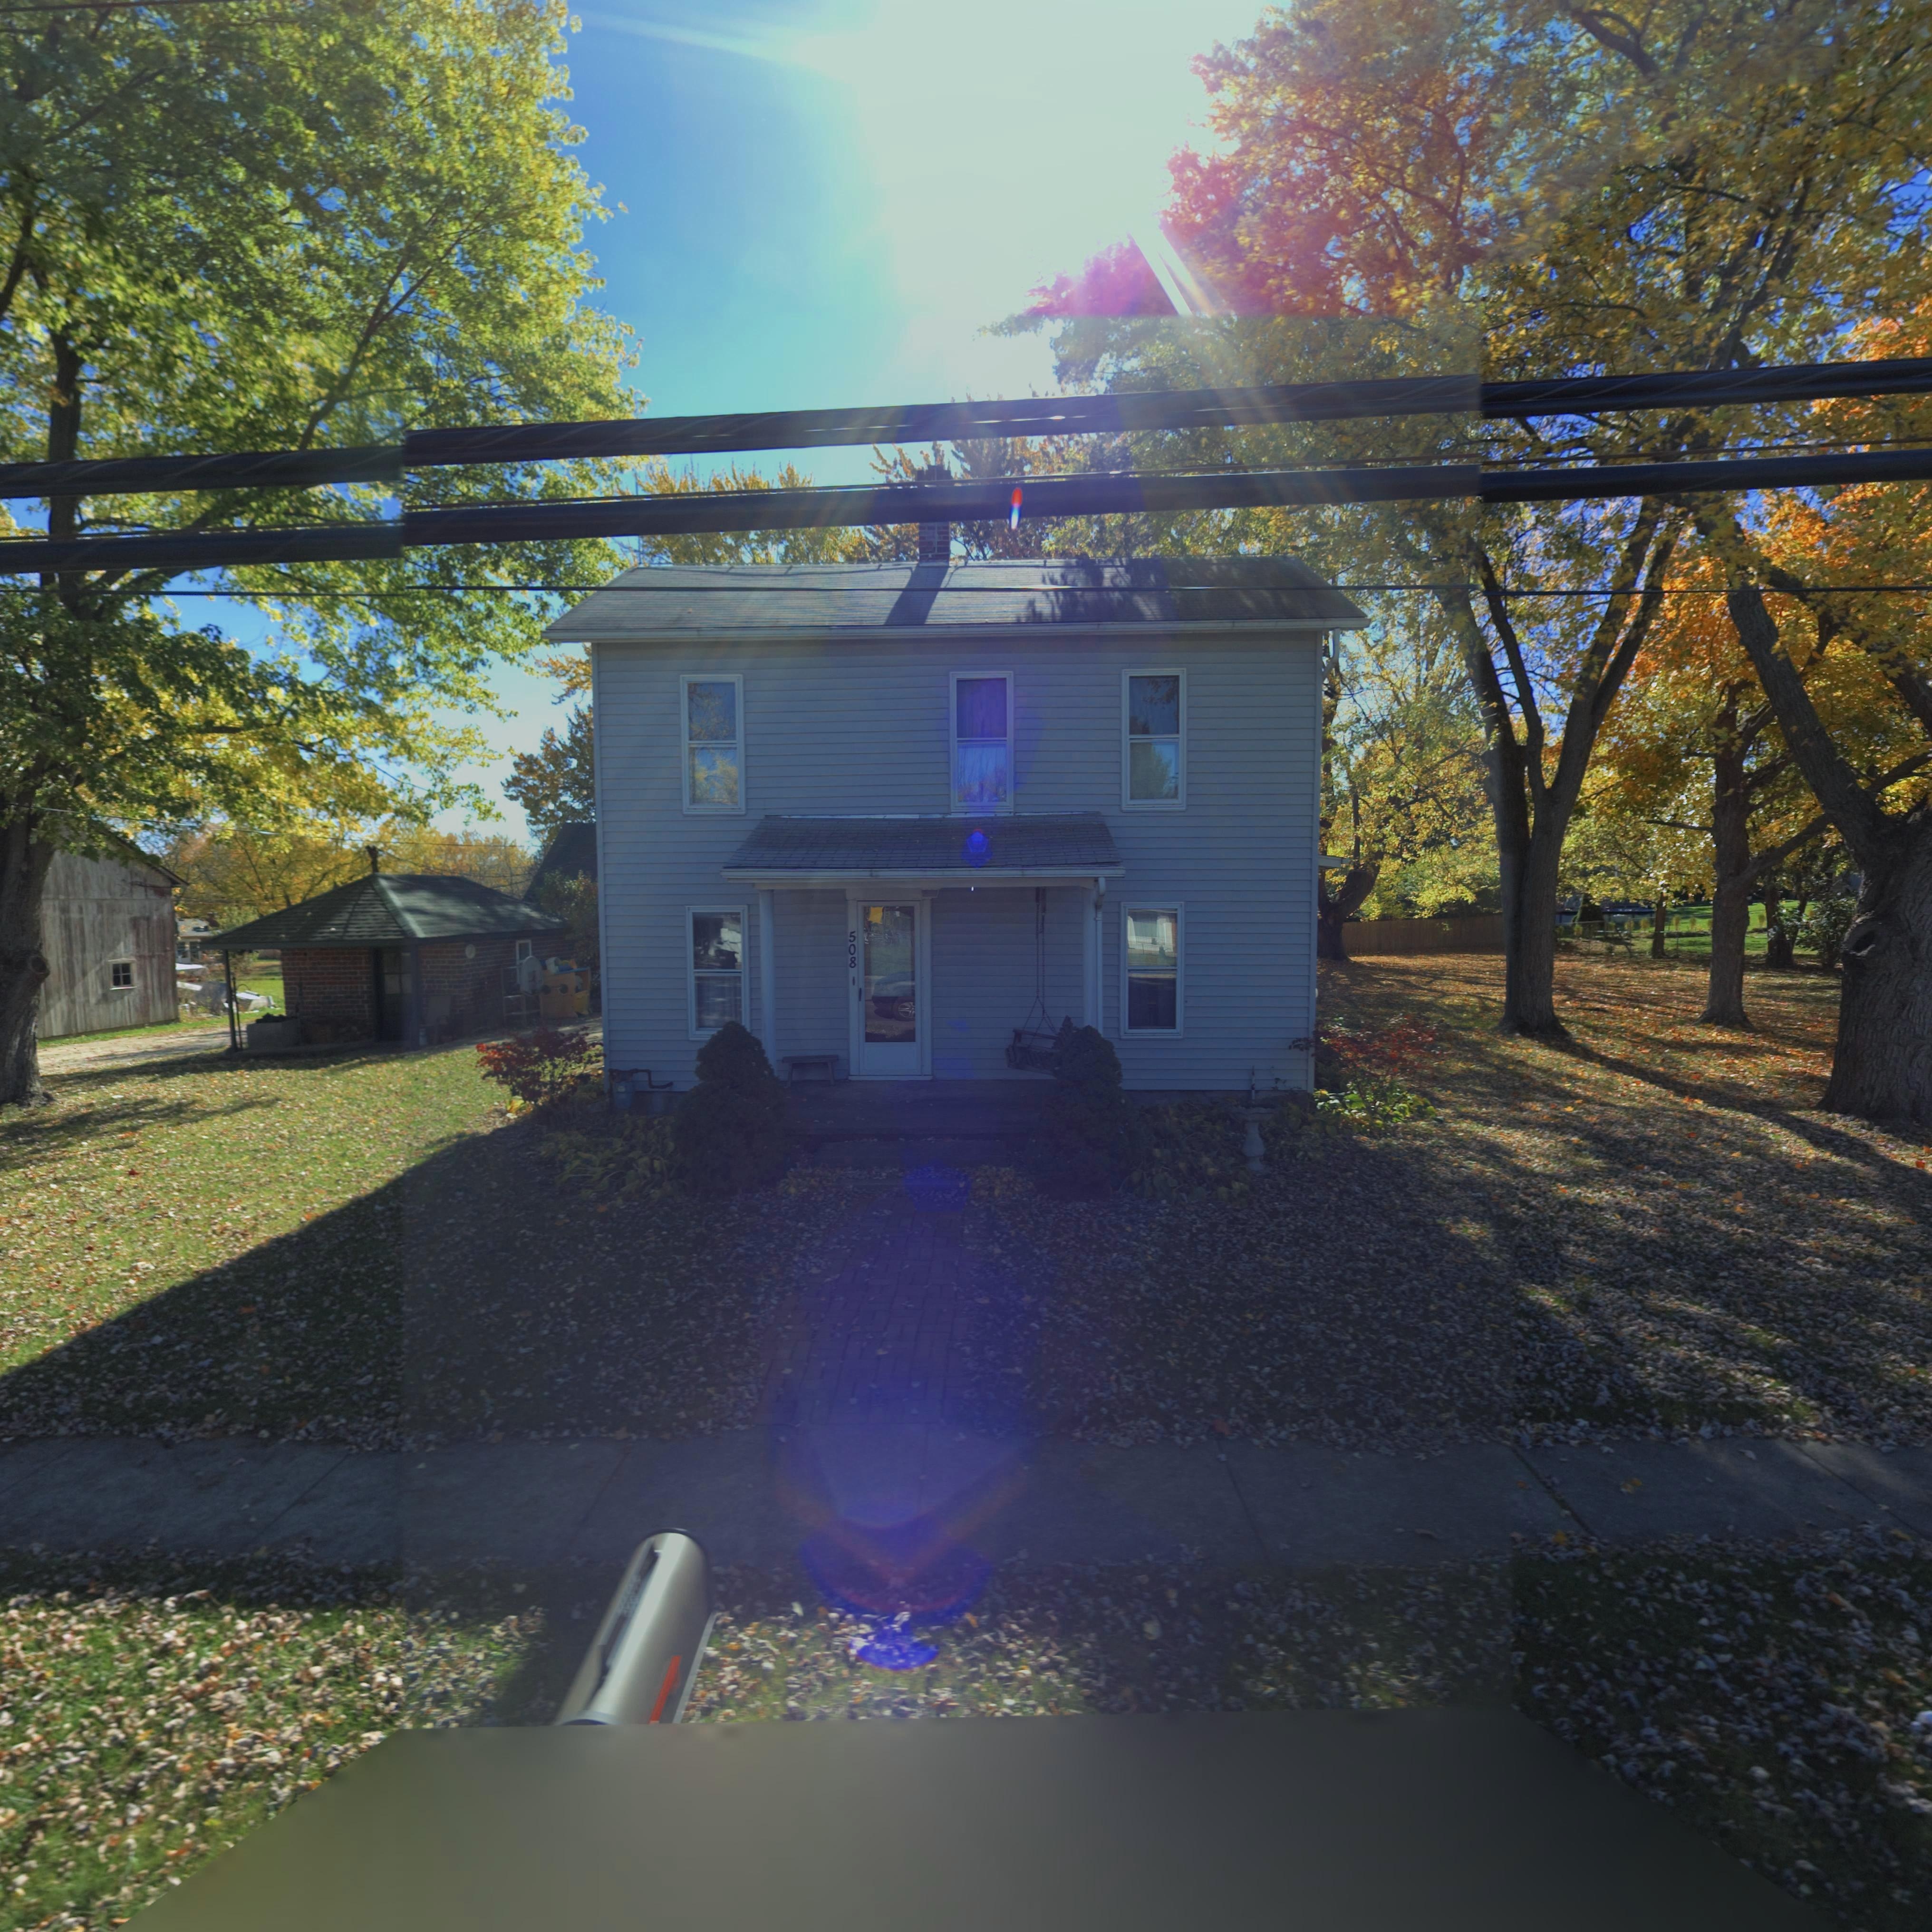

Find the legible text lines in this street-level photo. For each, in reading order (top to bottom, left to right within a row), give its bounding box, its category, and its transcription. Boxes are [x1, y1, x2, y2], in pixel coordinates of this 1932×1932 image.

[848, 929, 858, 969] StreetNumber: 508